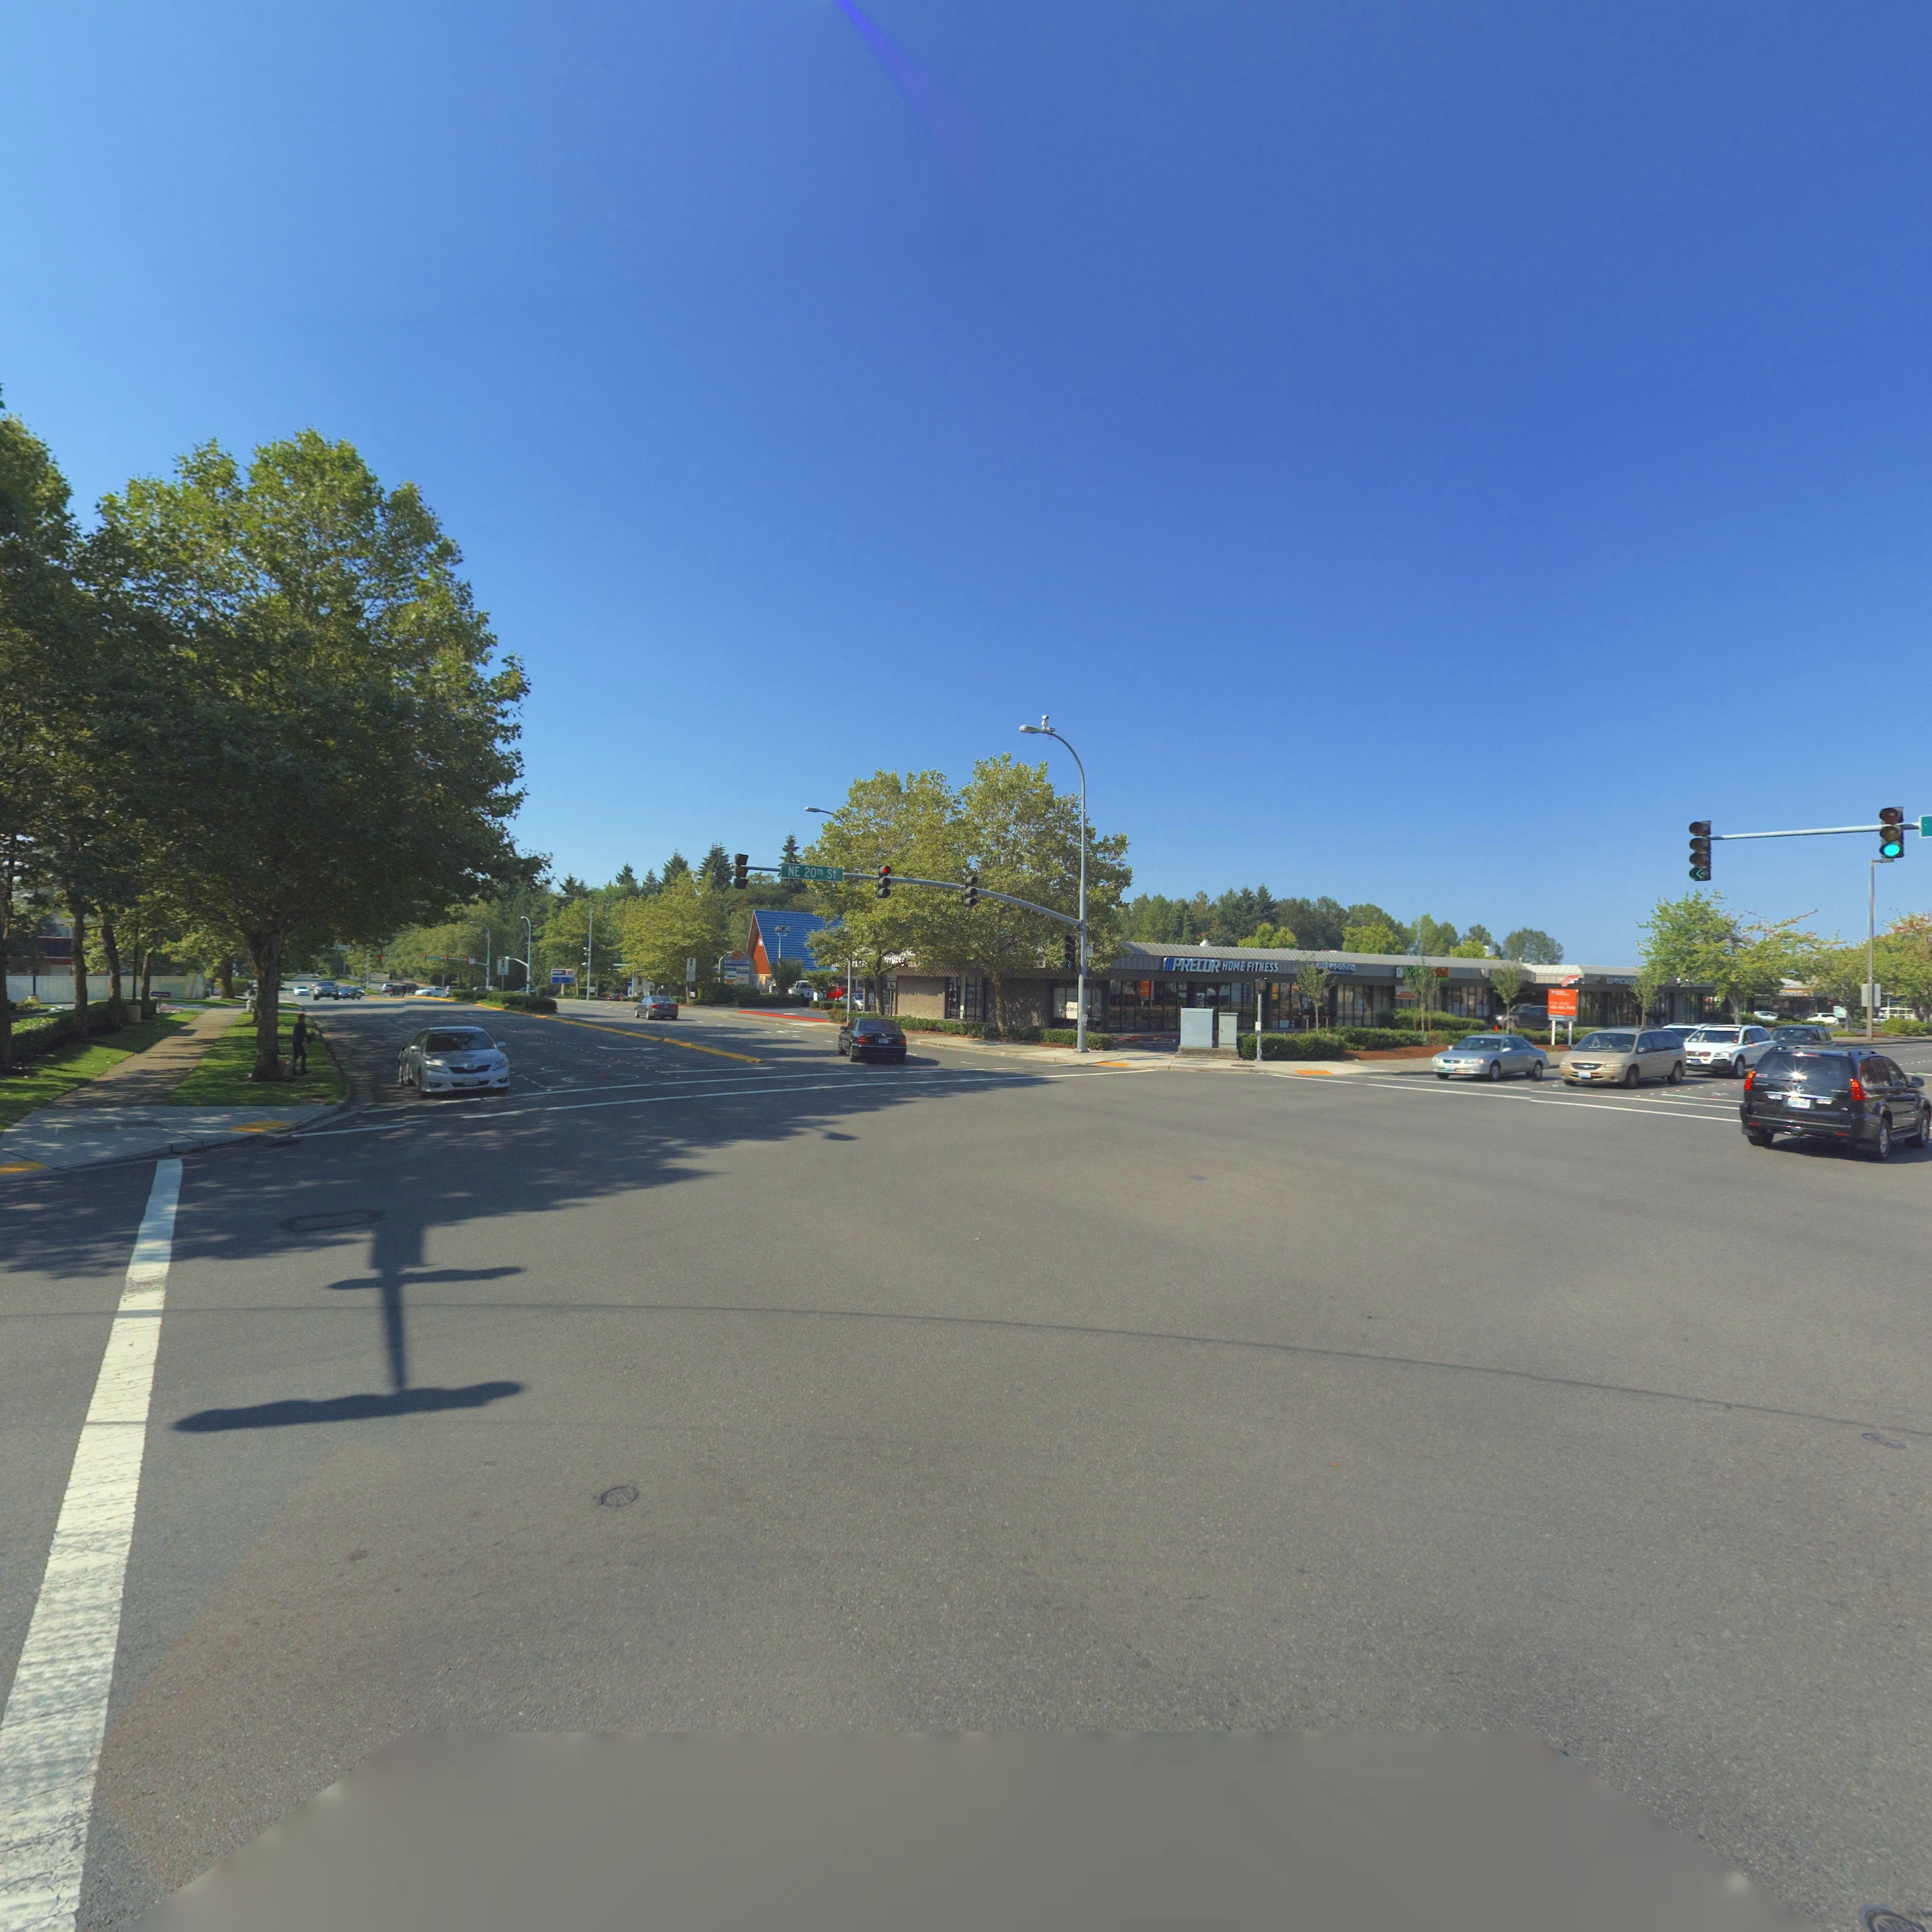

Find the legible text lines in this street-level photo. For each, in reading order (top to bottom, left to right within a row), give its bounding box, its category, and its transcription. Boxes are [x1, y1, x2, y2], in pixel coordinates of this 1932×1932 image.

[789, 866, 836, 879] StreetName: NE 20th St
[1171, 956, 1279, 973] BusinessName: PRECOR HOME FITNESS